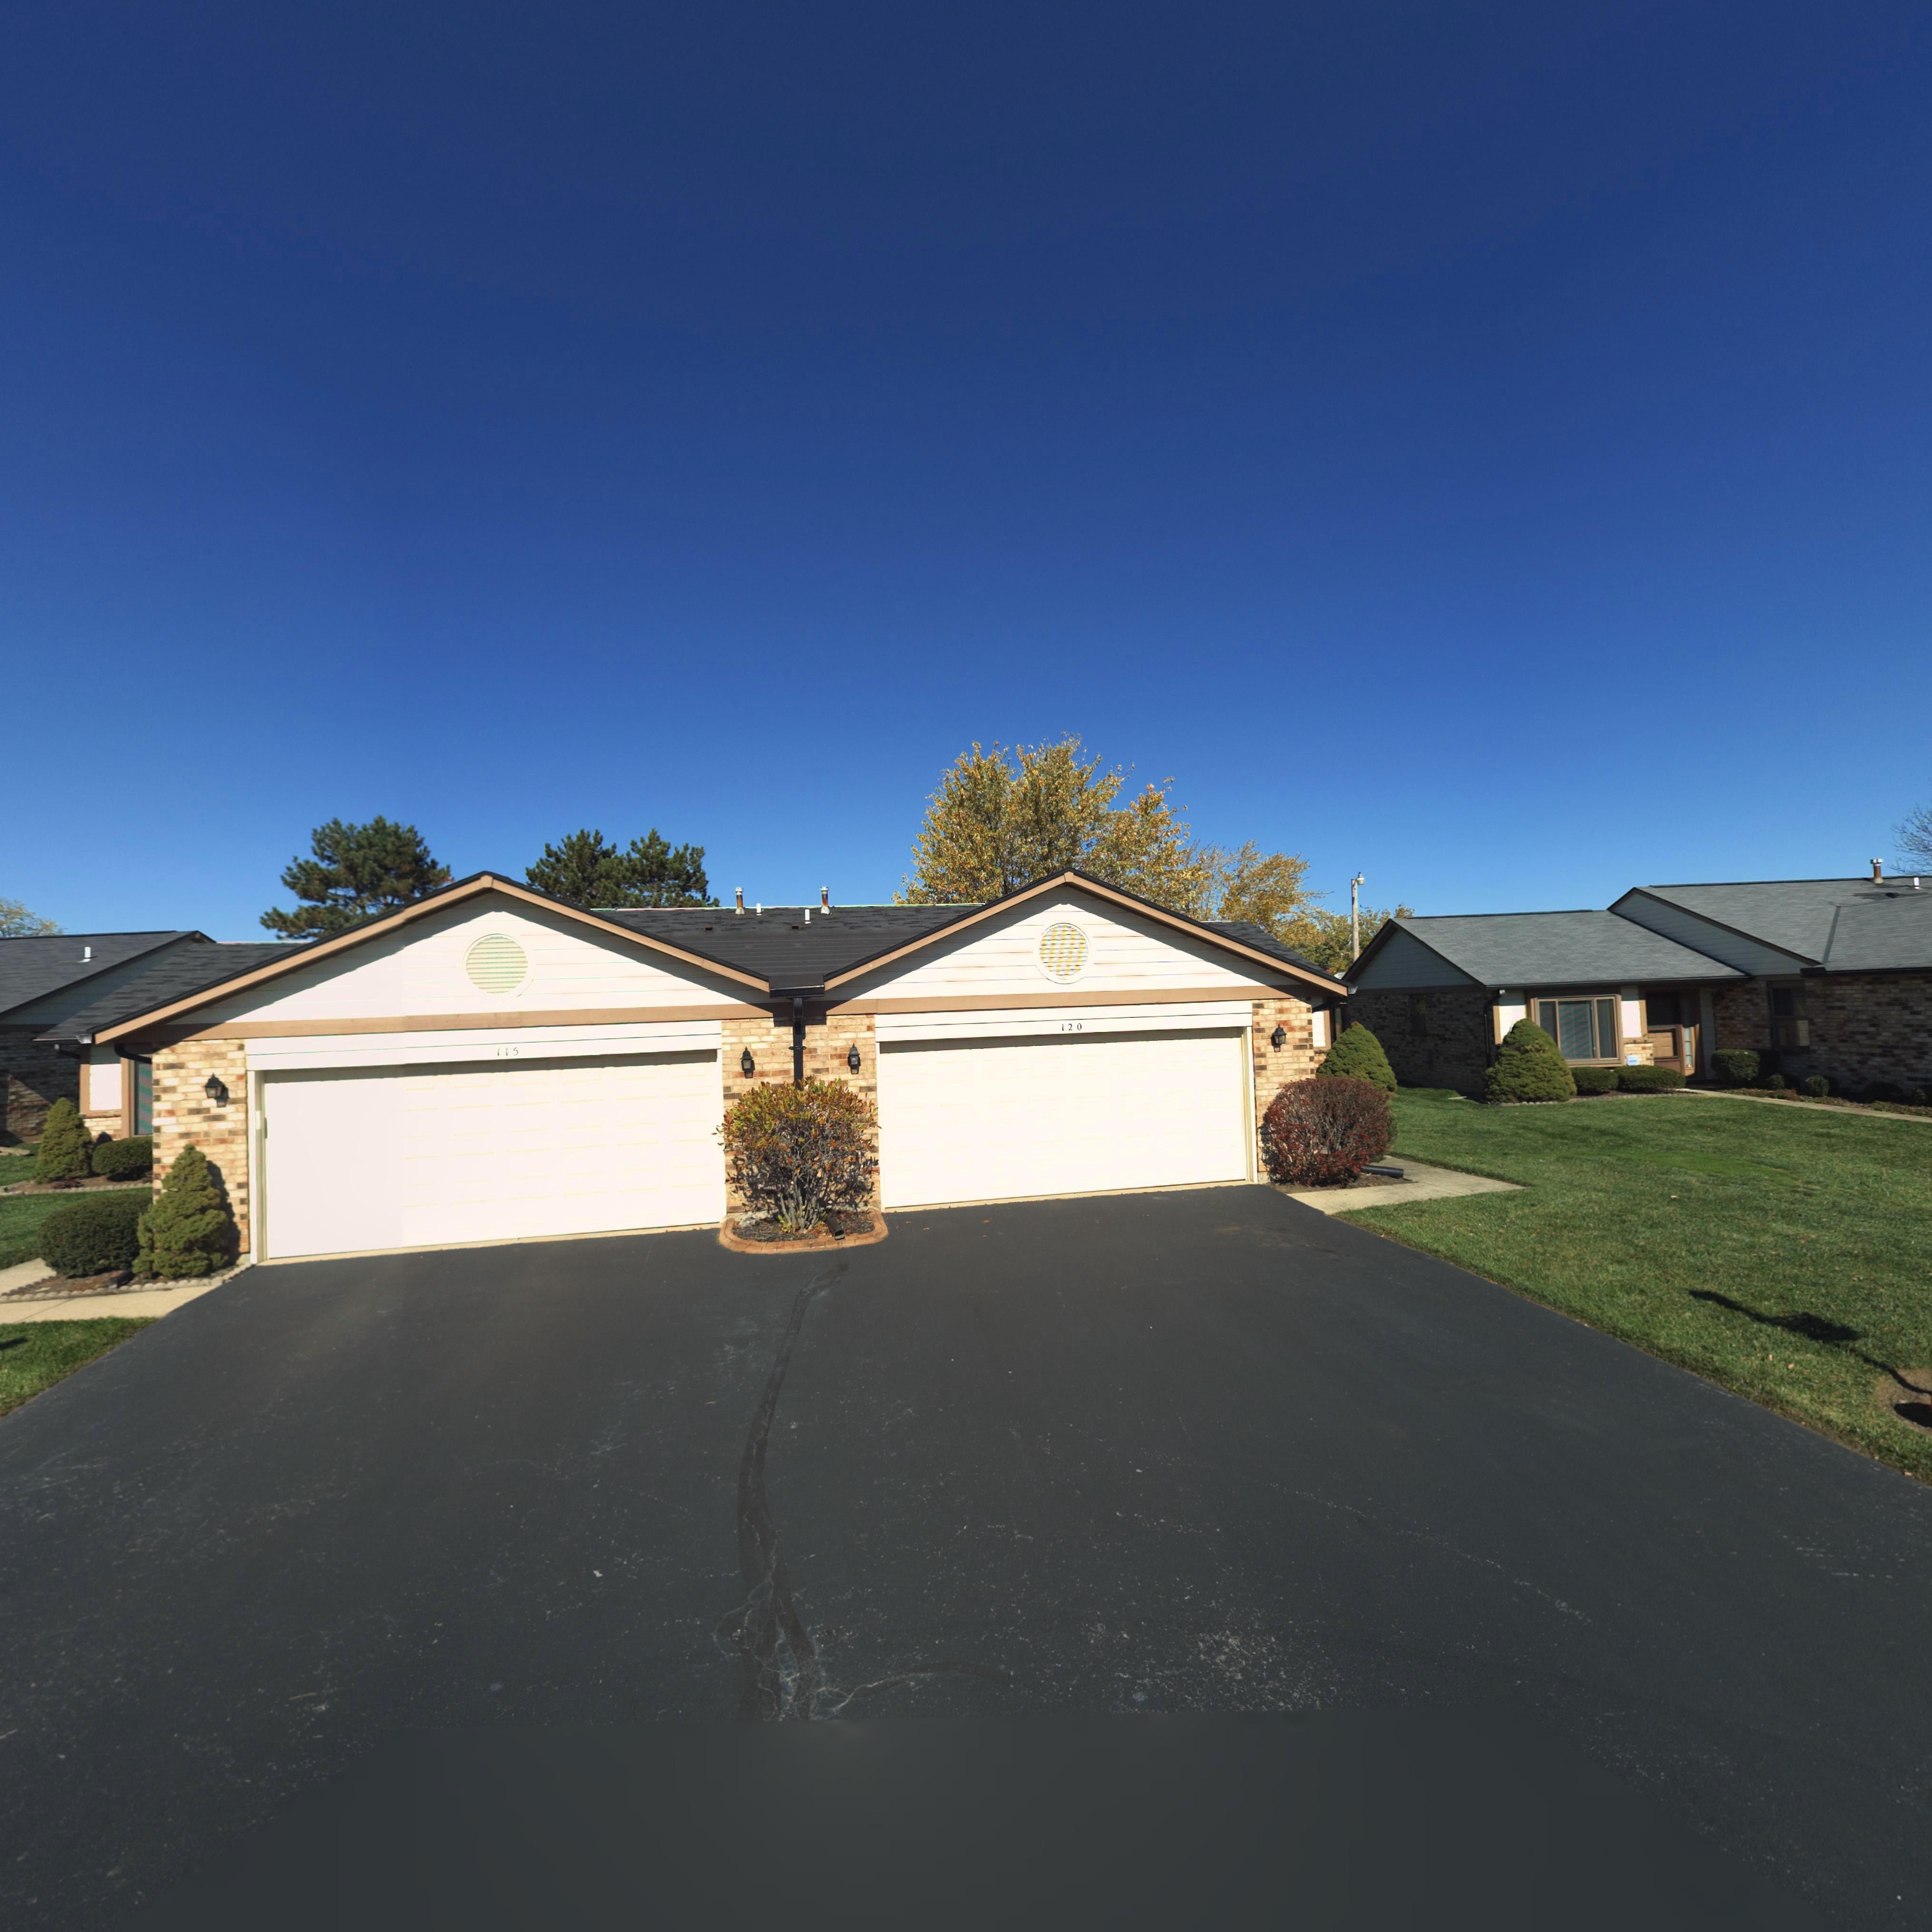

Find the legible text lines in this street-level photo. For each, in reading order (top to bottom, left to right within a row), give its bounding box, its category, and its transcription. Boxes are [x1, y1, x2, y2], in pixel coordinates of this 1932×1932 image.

[1060, 1022, 1083, 1033] StreetNumber: 120
[495, 1045, 521, 1058] StreetNumber: 115